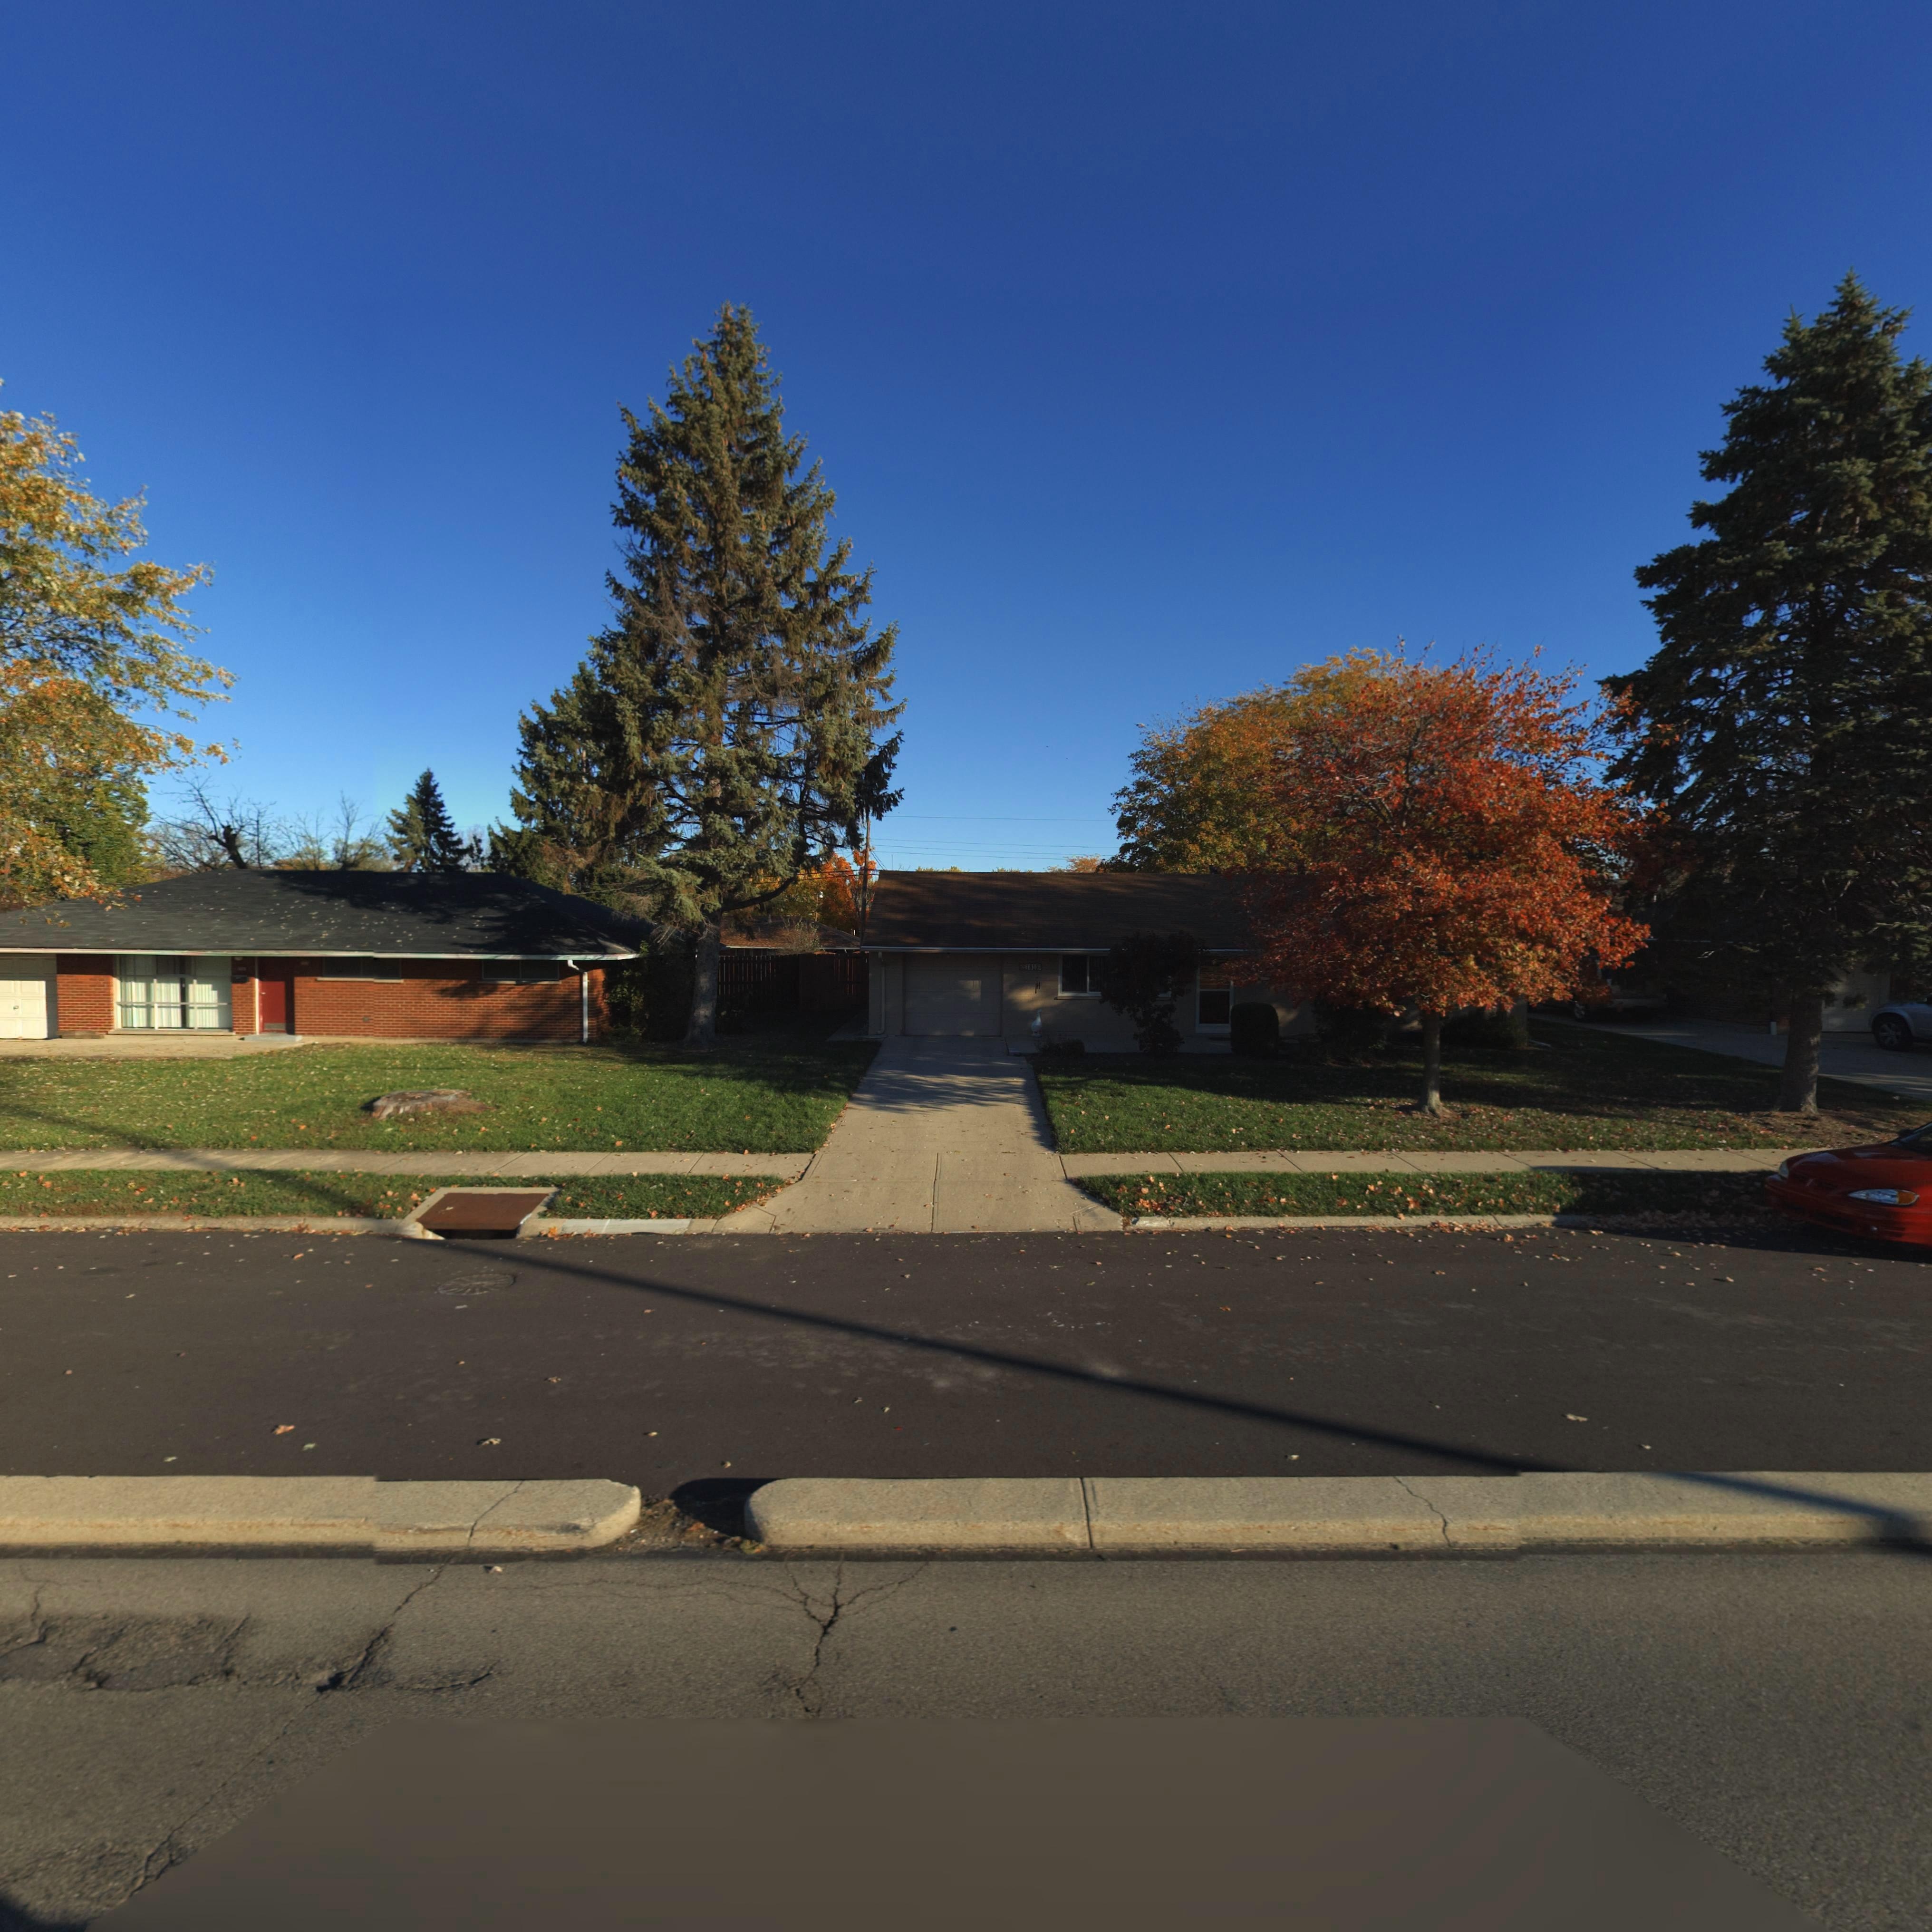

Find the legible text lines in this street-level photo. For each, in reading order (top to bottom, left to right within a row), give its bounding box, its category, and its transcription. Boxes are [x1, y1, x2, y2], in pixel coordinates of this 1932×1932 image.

[1025, 964, 1039, 970] StreetNumber: 1813